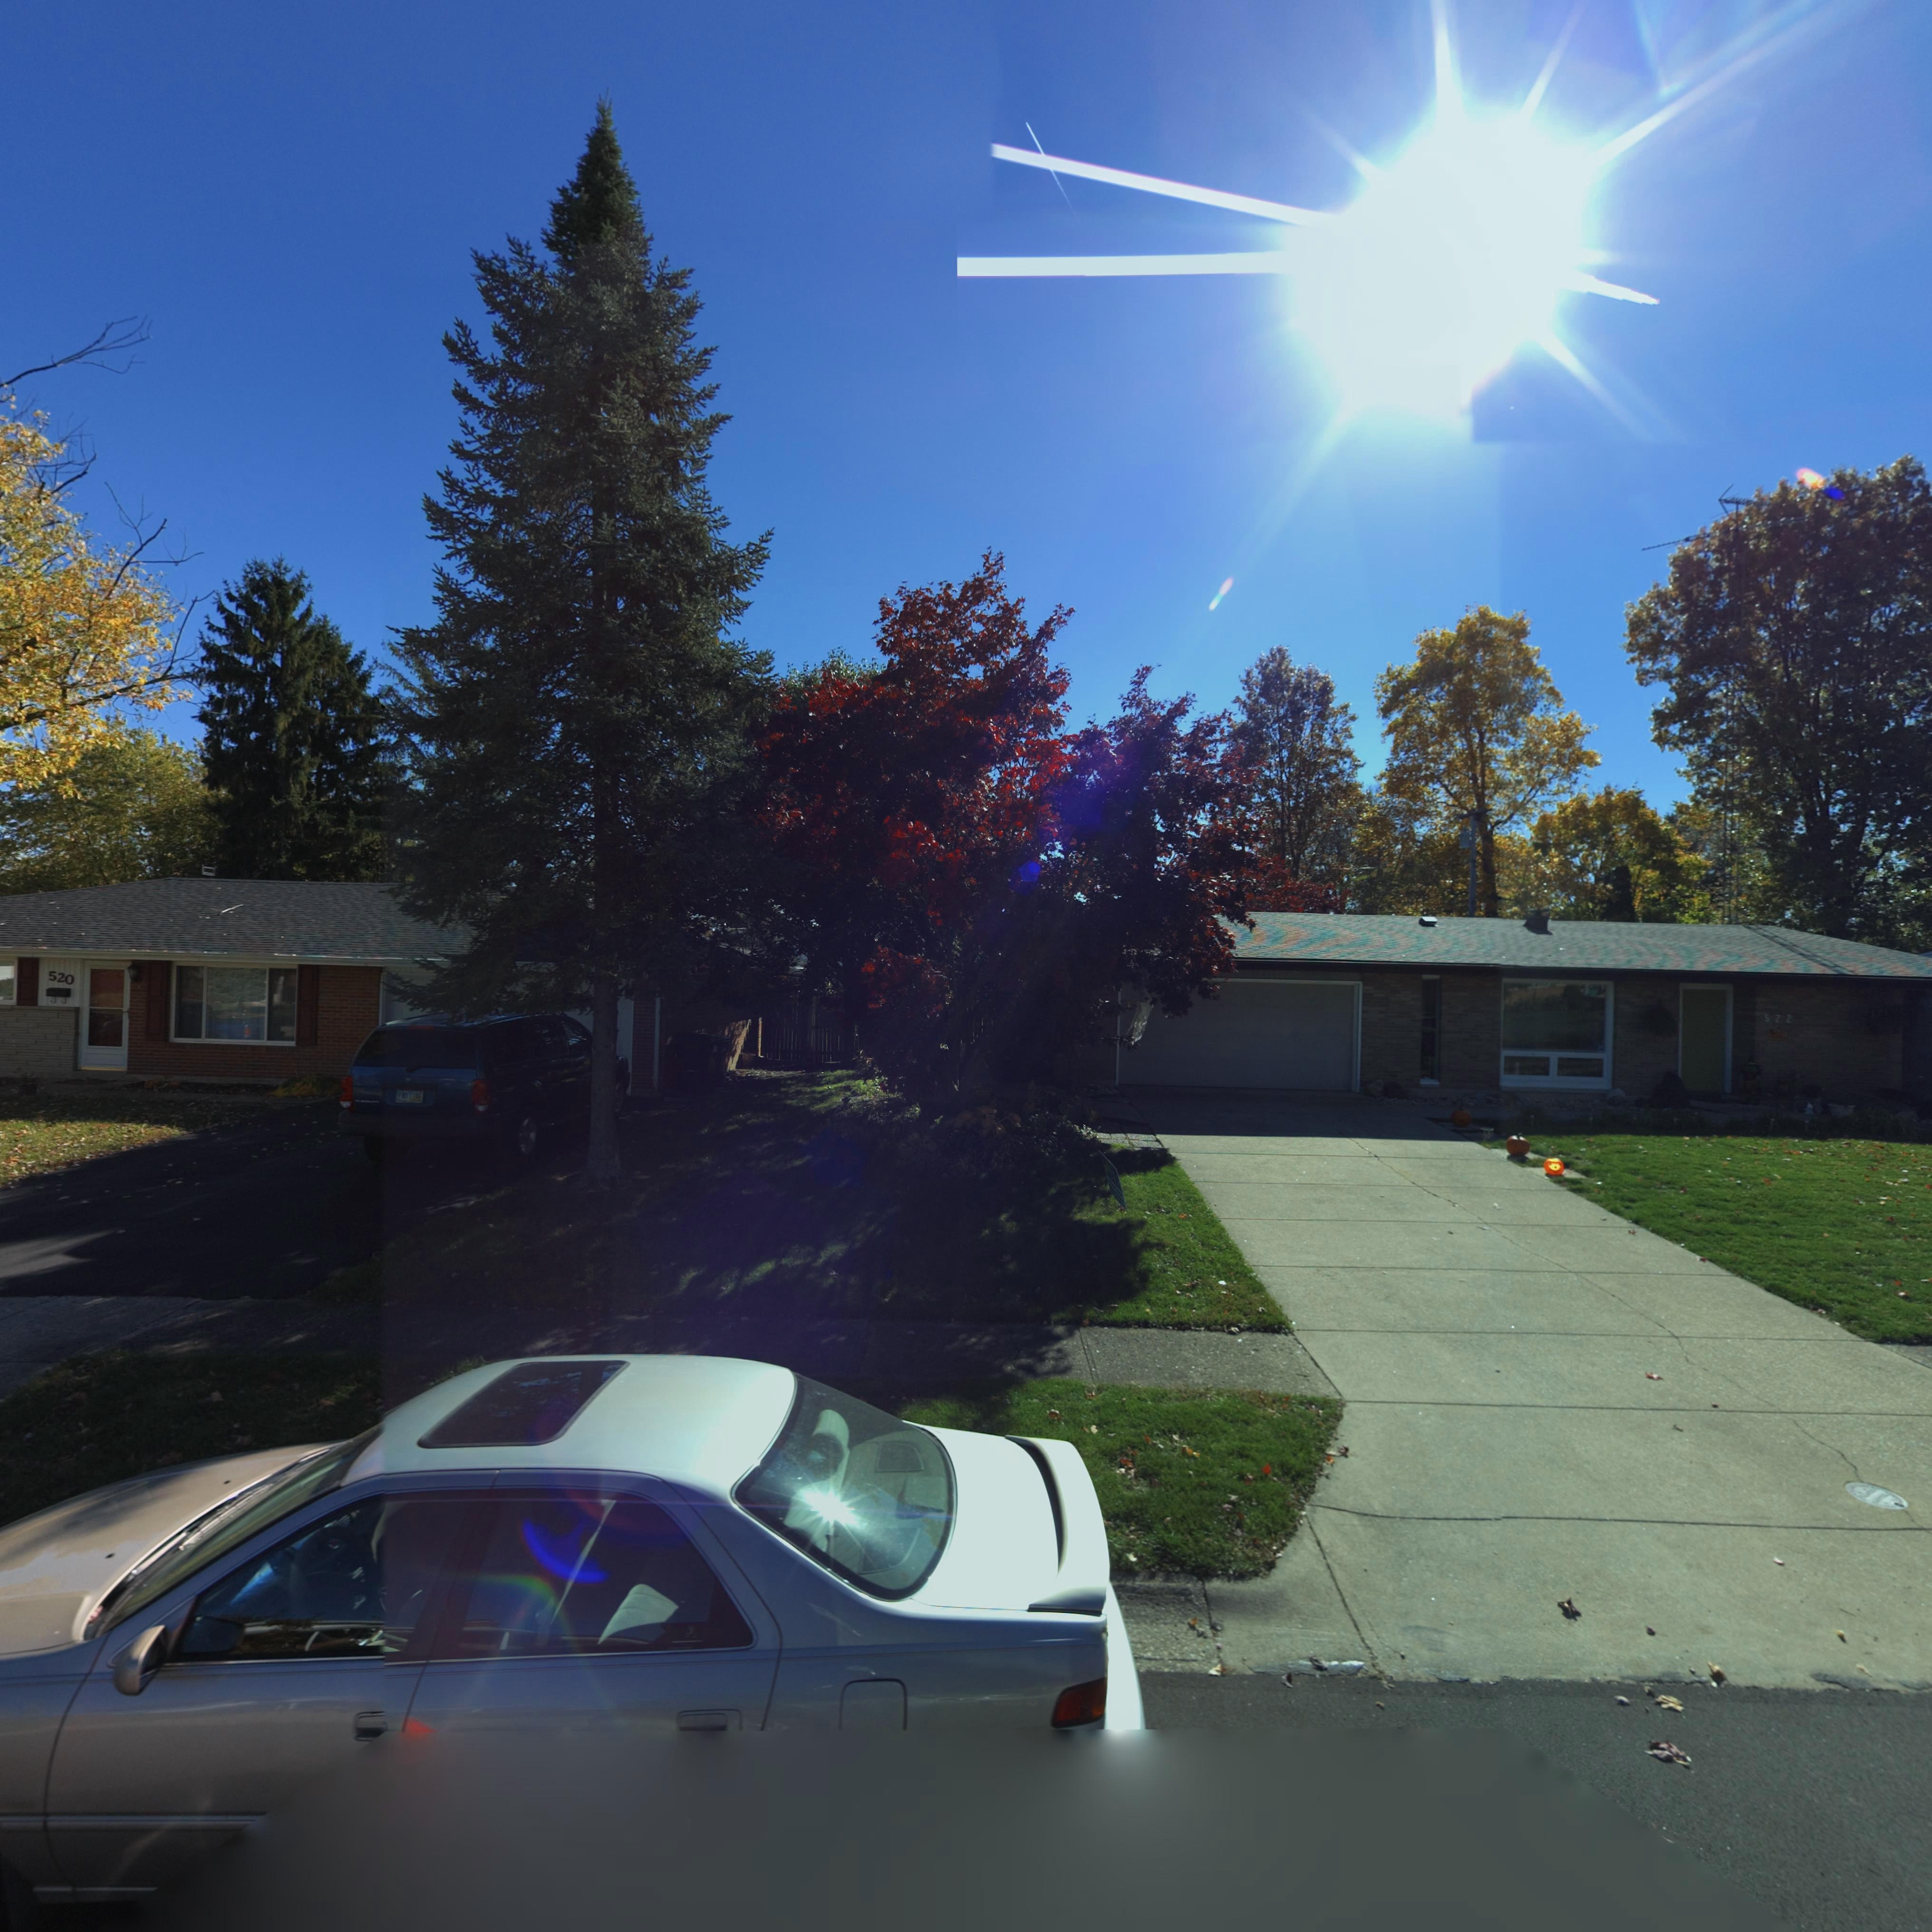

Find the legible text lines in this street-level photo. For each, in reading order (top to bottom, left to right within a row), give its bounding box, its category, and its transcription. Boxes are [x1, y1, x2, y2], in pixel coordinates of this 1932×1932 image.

[48, 971, 76, 985] StreetNumber: 520
[1764, 1013, 1793, 1024] StreetNumber: 522